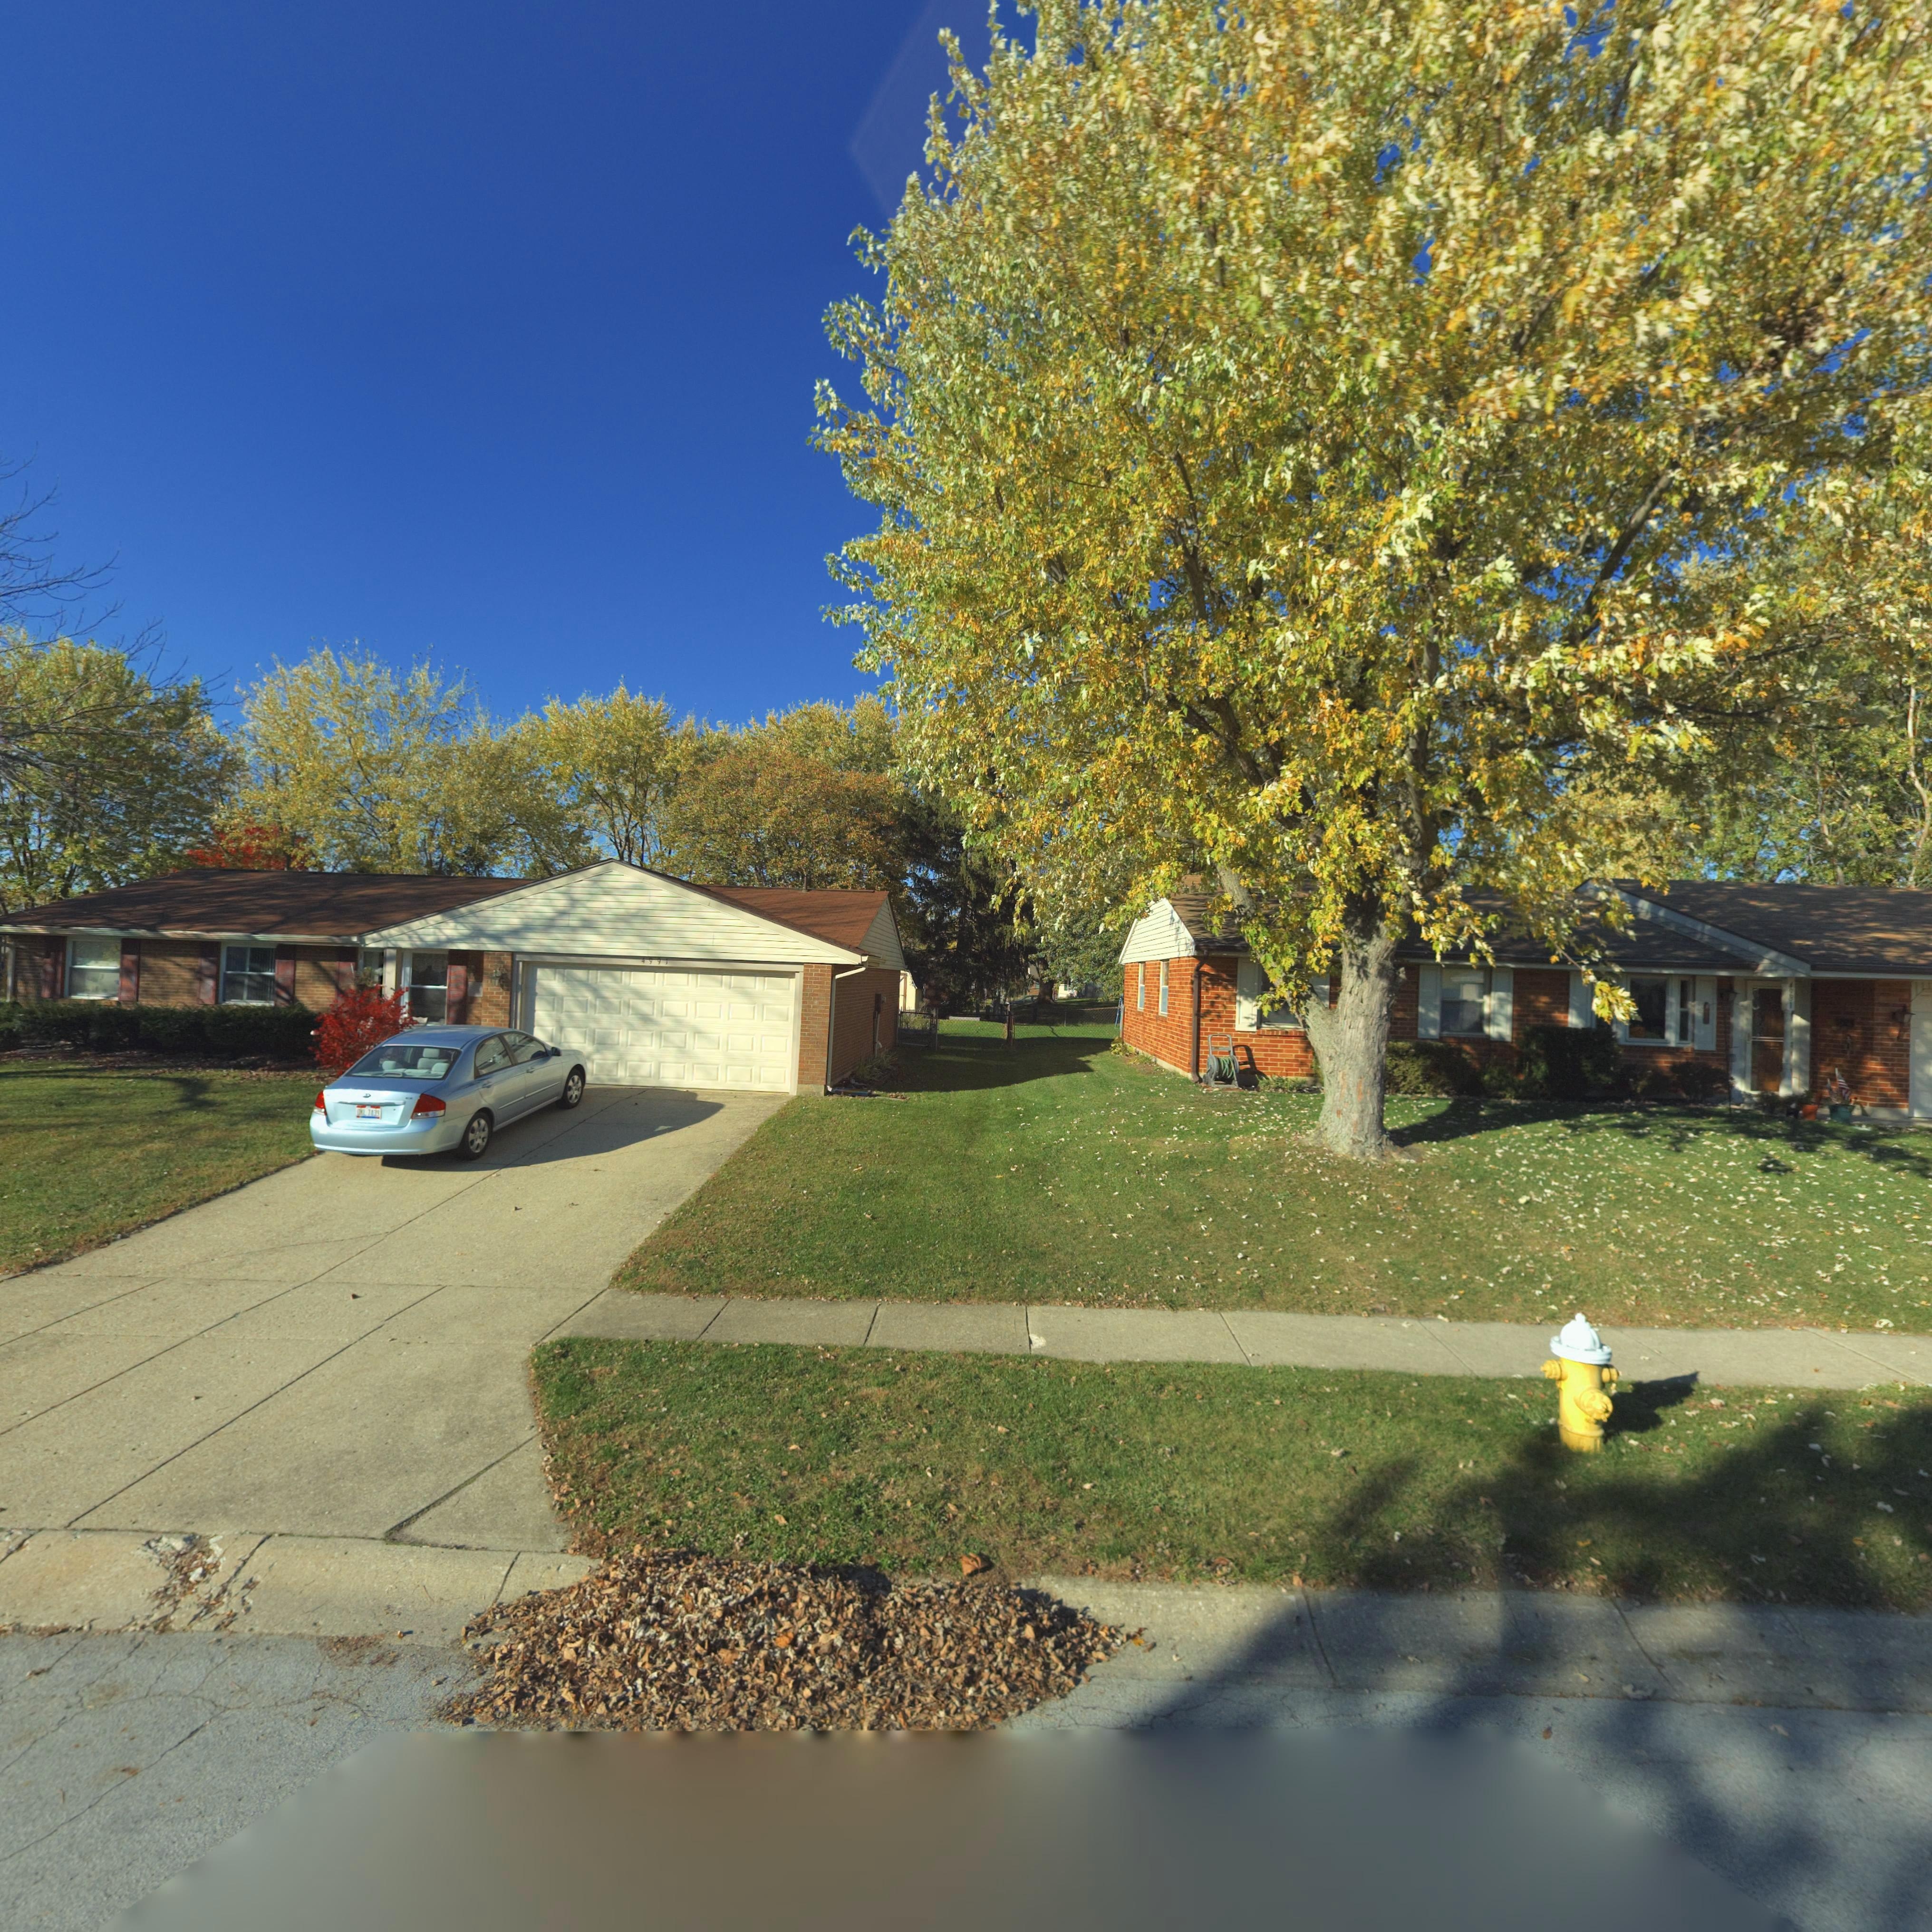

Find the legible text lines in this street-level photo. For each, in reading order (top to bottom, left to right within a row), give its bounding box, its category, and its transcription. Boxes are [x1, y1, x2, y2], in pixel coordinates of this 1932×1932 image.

[640, 956, 669, 966] StreetNumber: 4991
[1787, 980, 1795, 1010] StreetNumber: **81